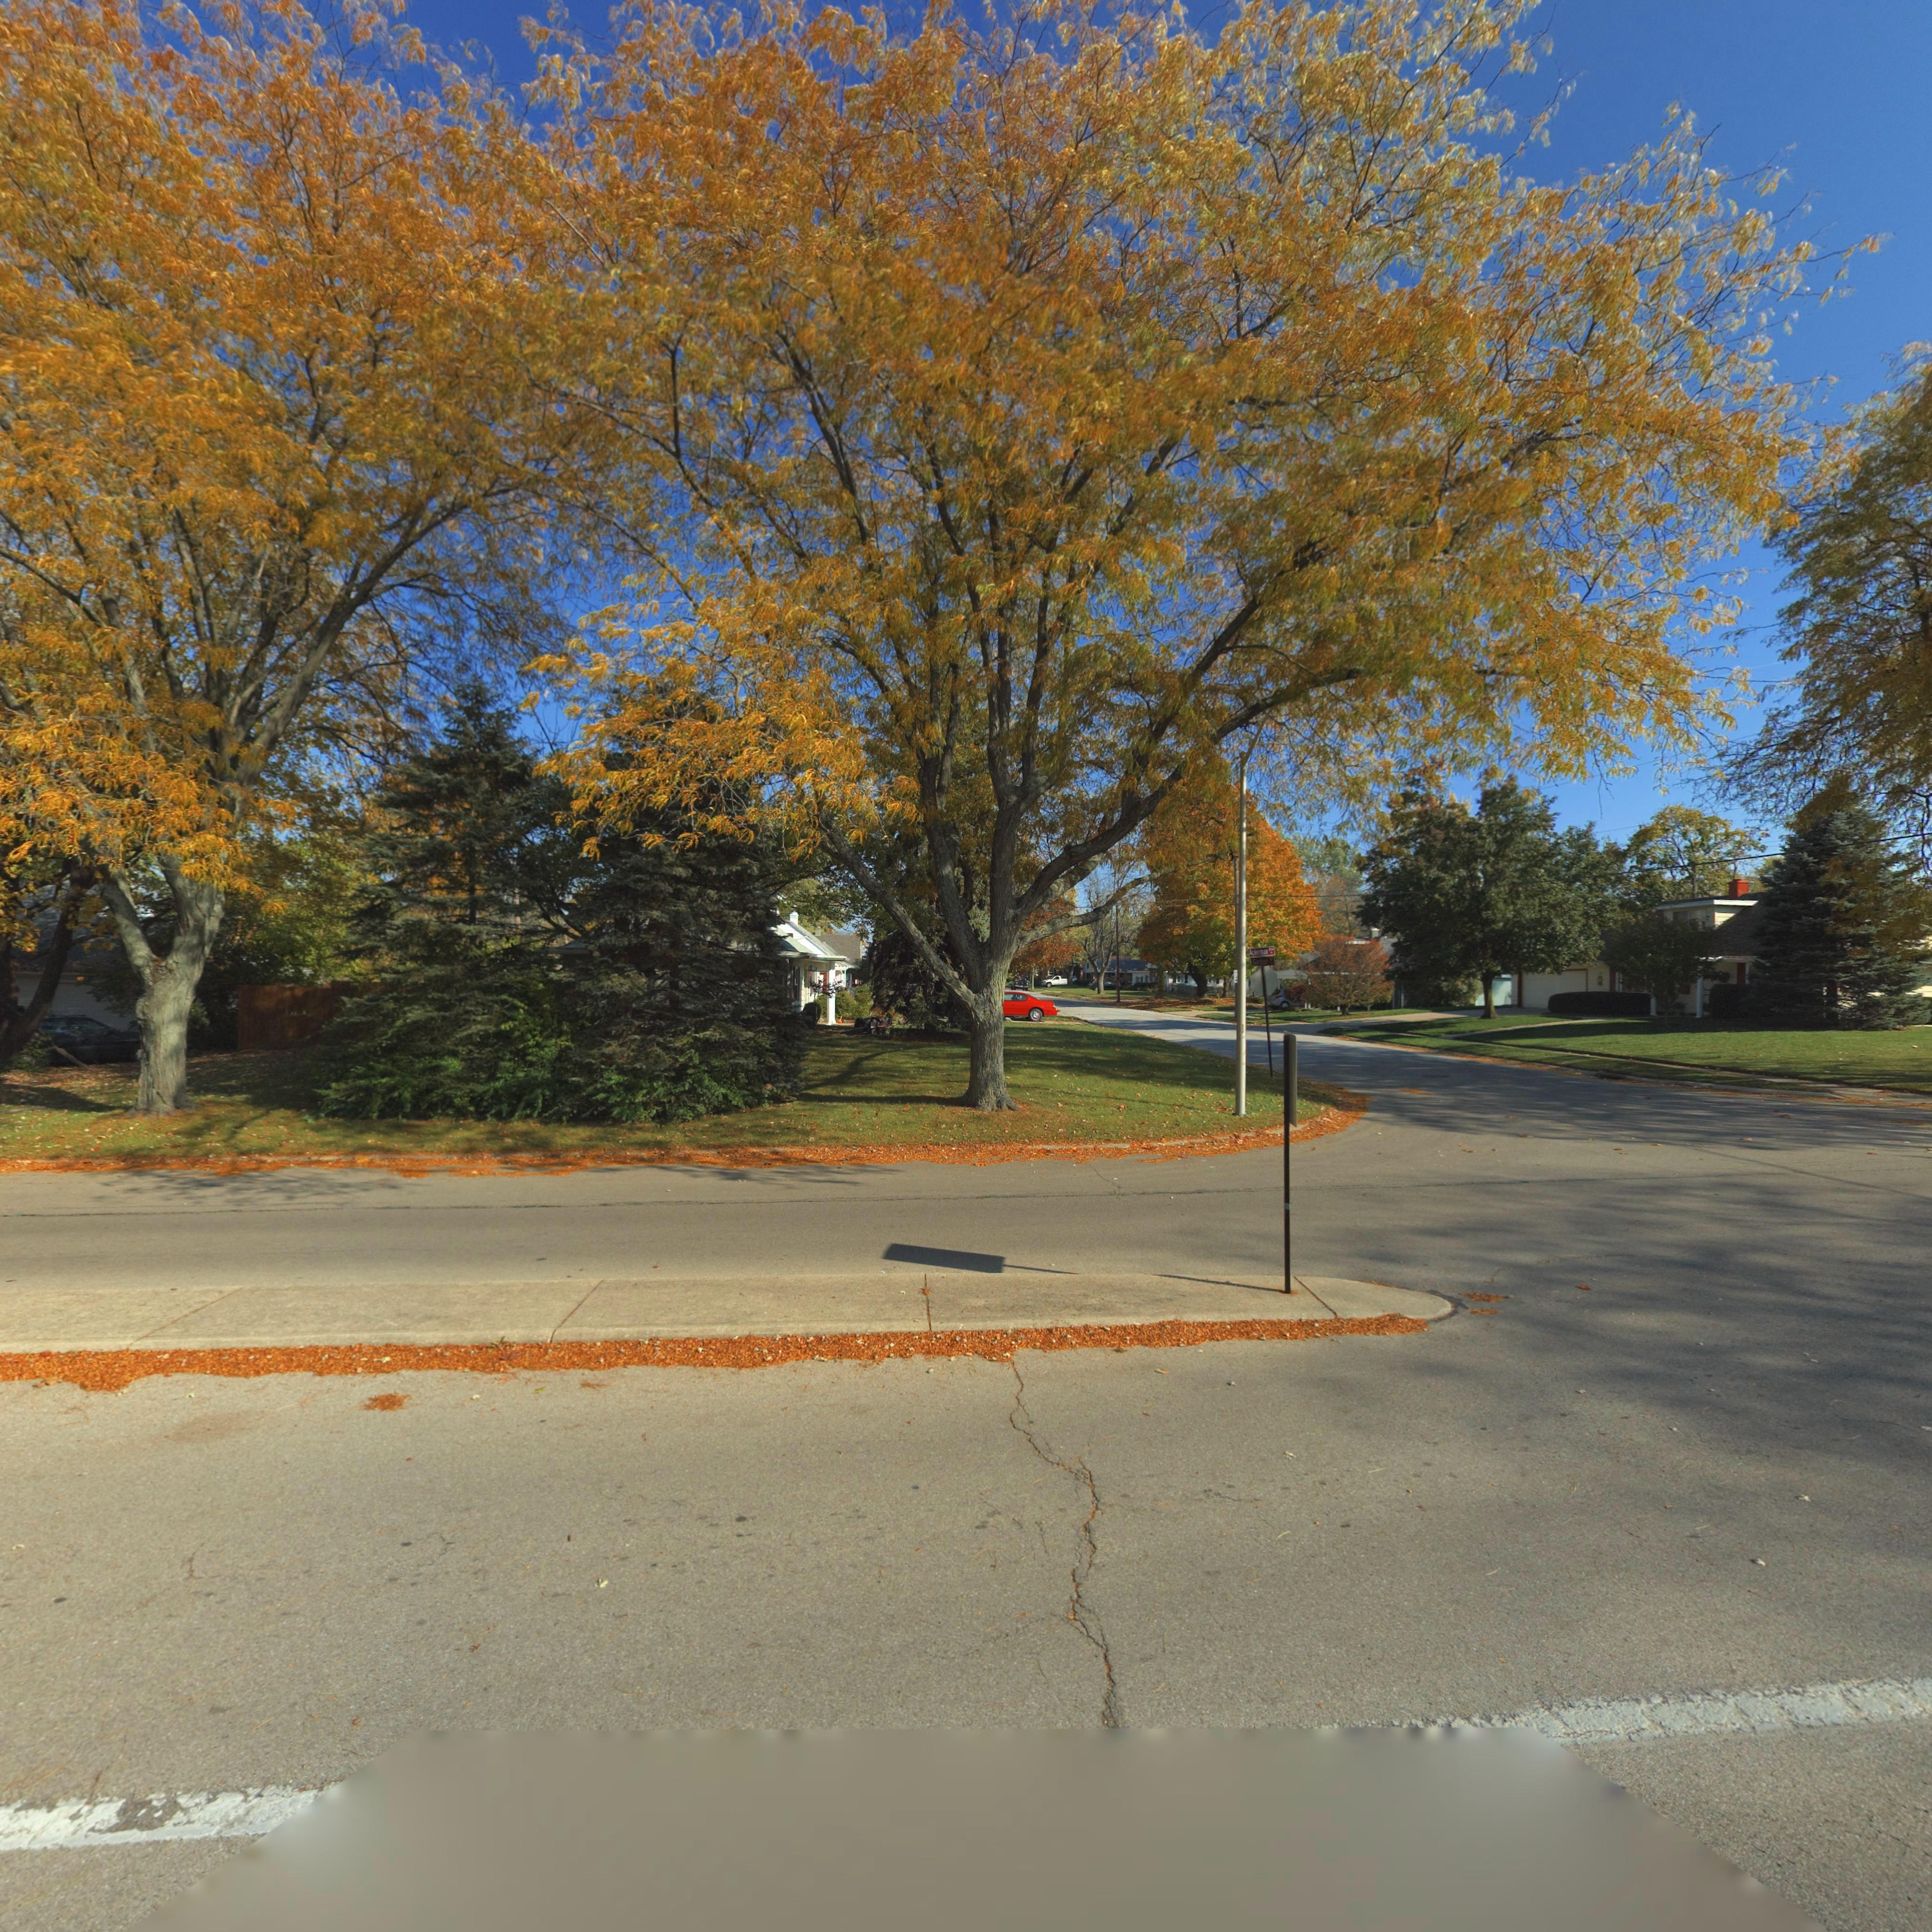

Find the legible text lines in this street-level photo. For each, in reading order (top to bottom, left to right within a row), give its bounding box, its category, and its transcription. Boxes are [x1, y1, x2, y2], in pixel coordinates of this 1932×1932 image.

[1249, 949, 1268, 956] StreetName: Ackerman
[1252, 958, 1269, 965] StreetName: Gar*ner
[1235, 976, 1238, 981] None: 2